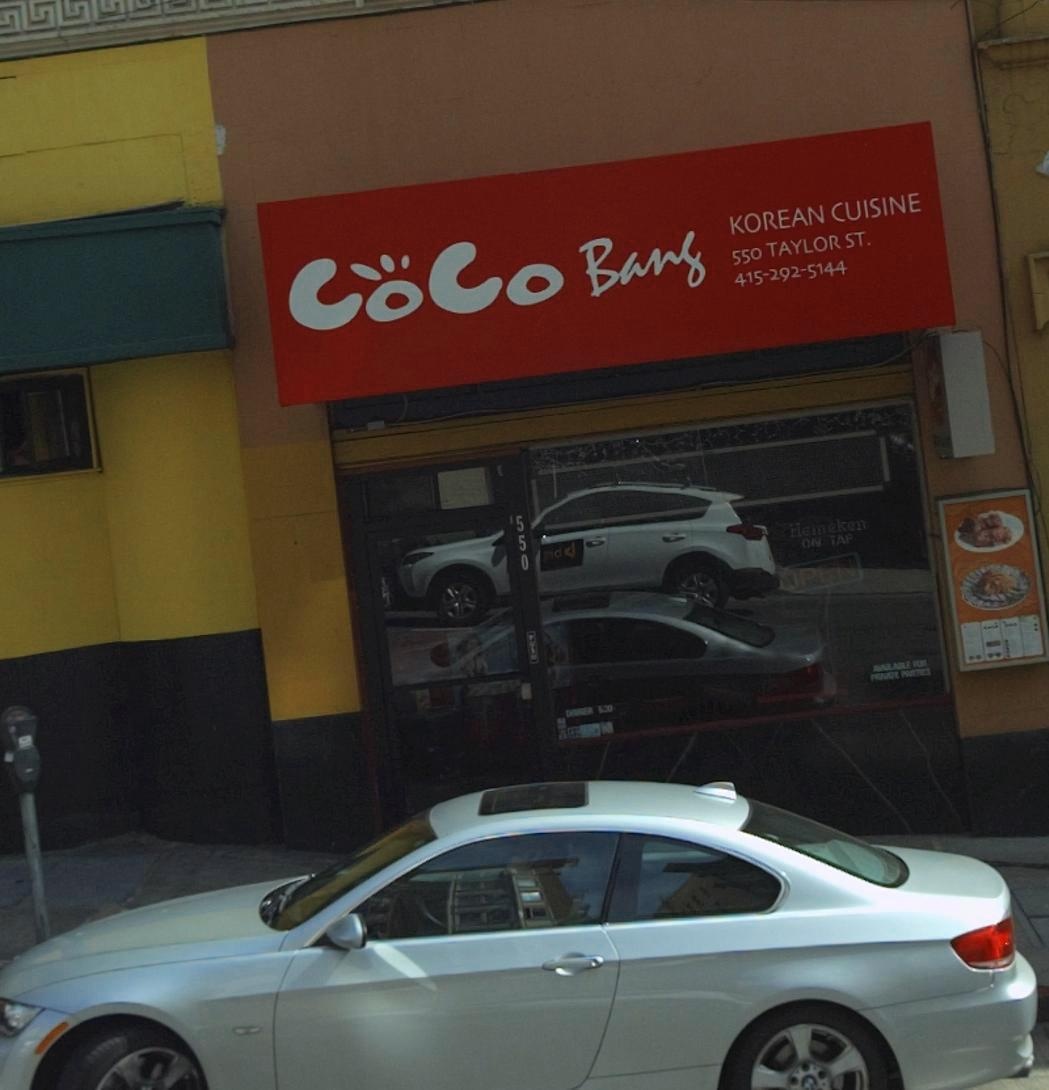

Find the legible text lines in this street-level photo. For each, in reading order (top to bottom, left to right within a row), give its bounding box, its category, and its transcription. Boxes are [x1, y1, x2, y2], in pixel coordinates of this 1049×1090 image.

[724, 185, 927, 241] None: KOREAN CUISINE
[281, 225, 718, 344] BusinessName: CoCo Bang
[725, 242, 768, 271] StreetNumber: 550
[728, 254, 855, 294] None: 415-292-5144
[761, 224, 877, 265] StreetName: TAYLOR ST.
[512, 510, 533, 576] StreetNumber: 550
[797, 529, 859, 555] None: ON TAP
[782, 510, 875, 544] None: Heineken
[773, 554, 861, 598] None: OPEN
[527, 632, 538, 656] None: PUL
[885, 656, 931, 673] None: LABLE FOR